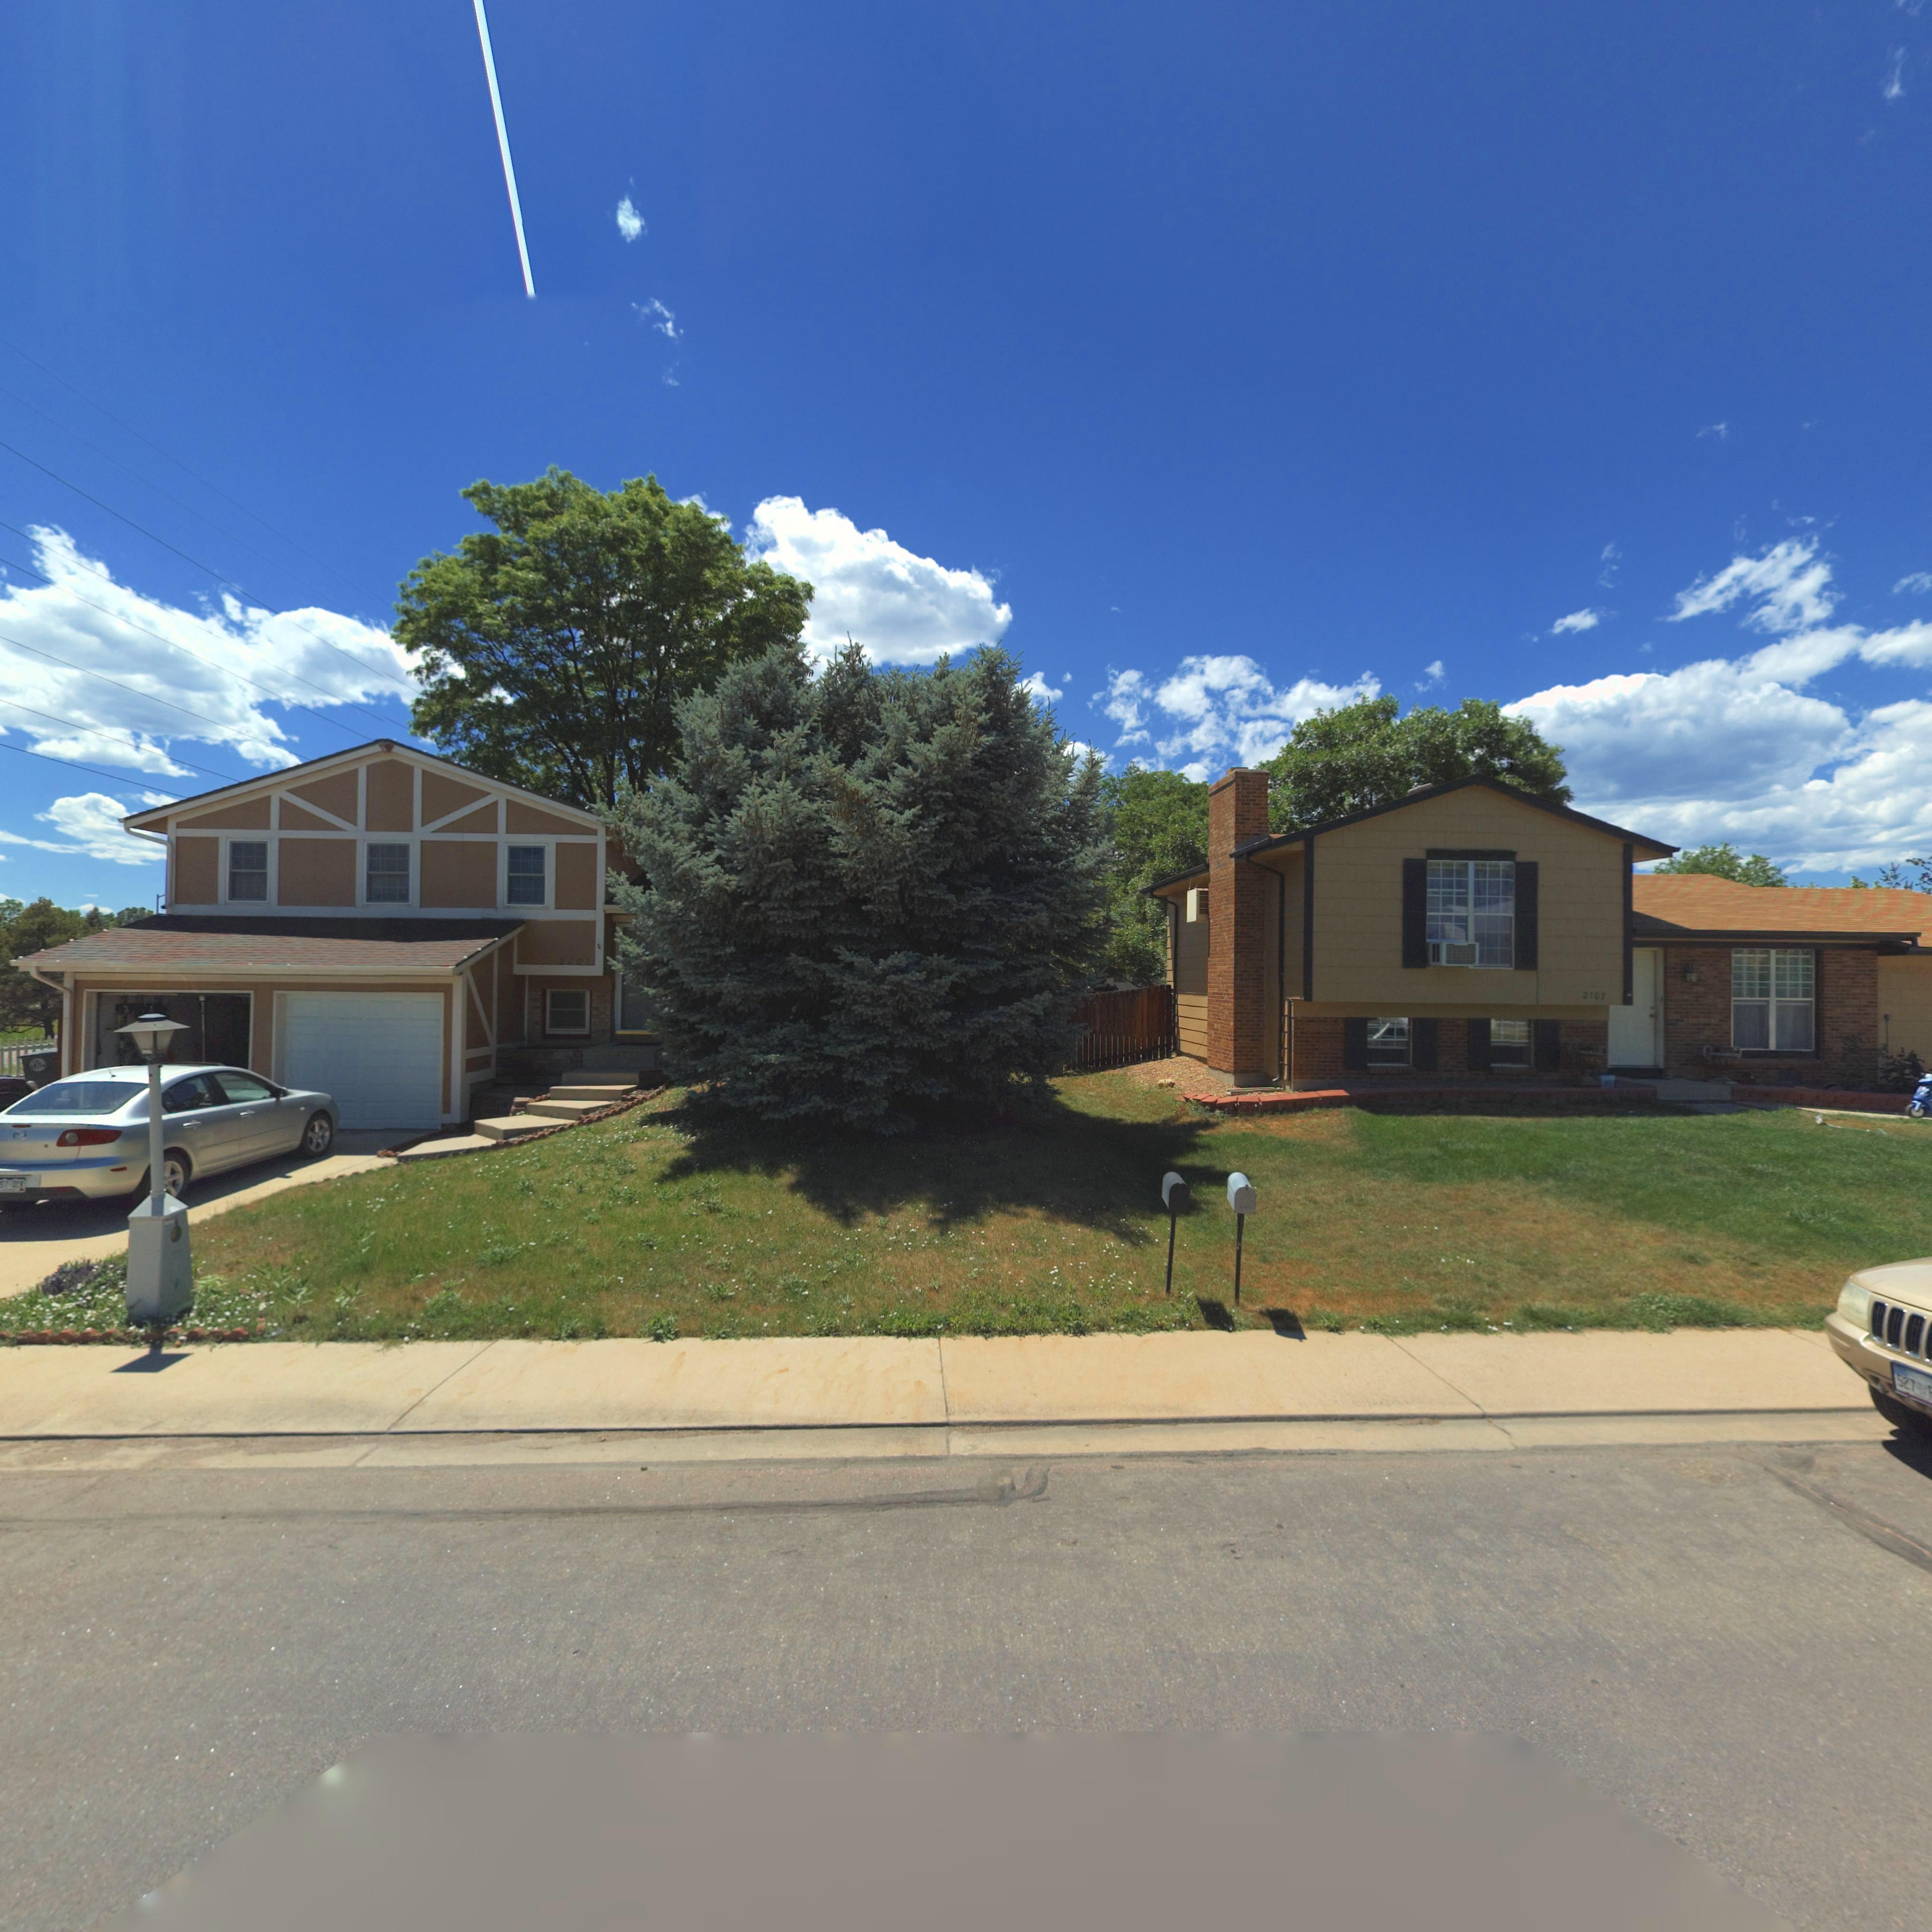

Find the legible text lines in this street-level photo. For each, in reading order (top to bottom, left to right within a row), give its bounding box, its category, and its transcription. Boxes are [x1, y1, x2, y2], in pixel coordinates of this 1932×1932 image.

[558, 956, 590, 966] StreetNumber: 2101
[1582, 990, 1606, 1000] StreetNumber: 2107